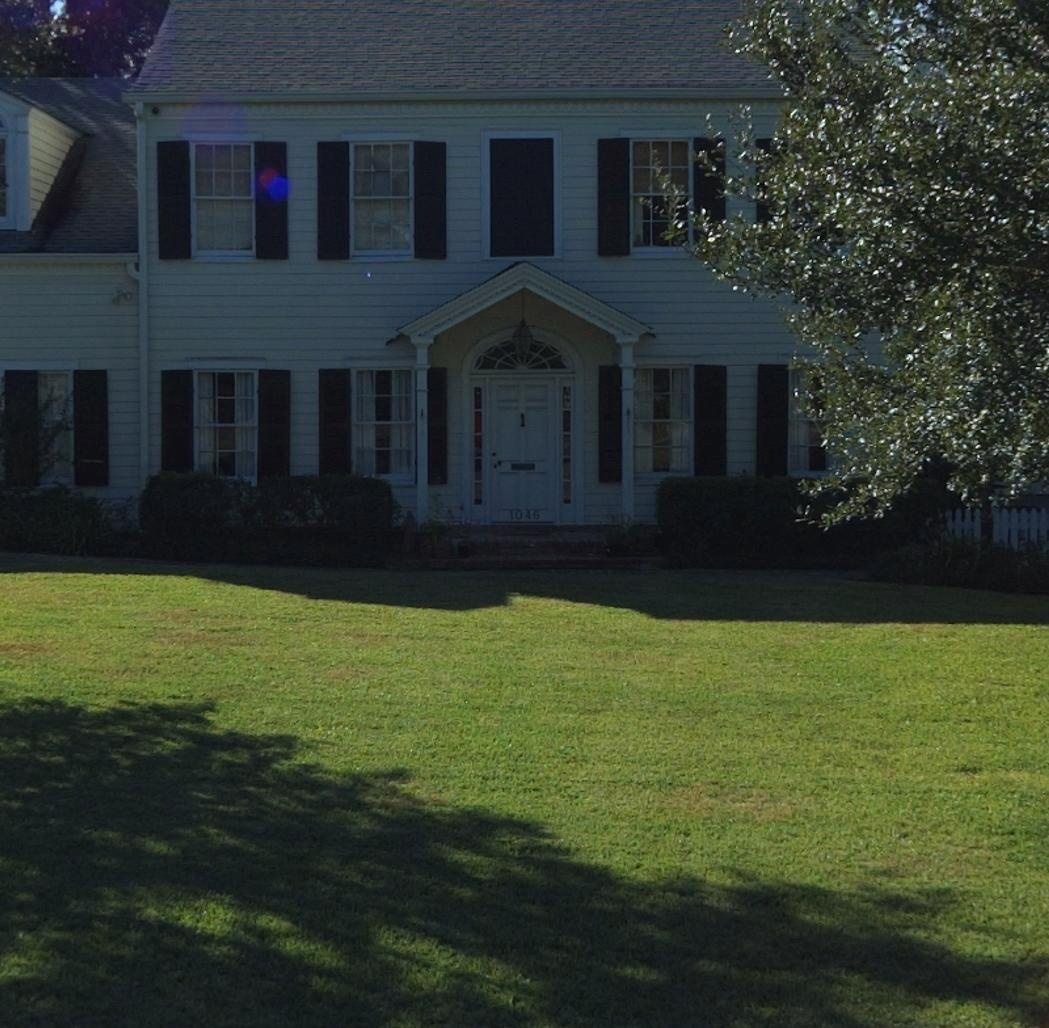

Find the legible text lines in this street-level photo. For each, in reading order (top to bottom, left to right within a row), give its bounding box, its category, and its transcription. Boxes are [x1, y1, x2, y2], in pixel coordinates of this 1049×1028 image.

[508, 507, 542, 522] StreetNumber: 1046